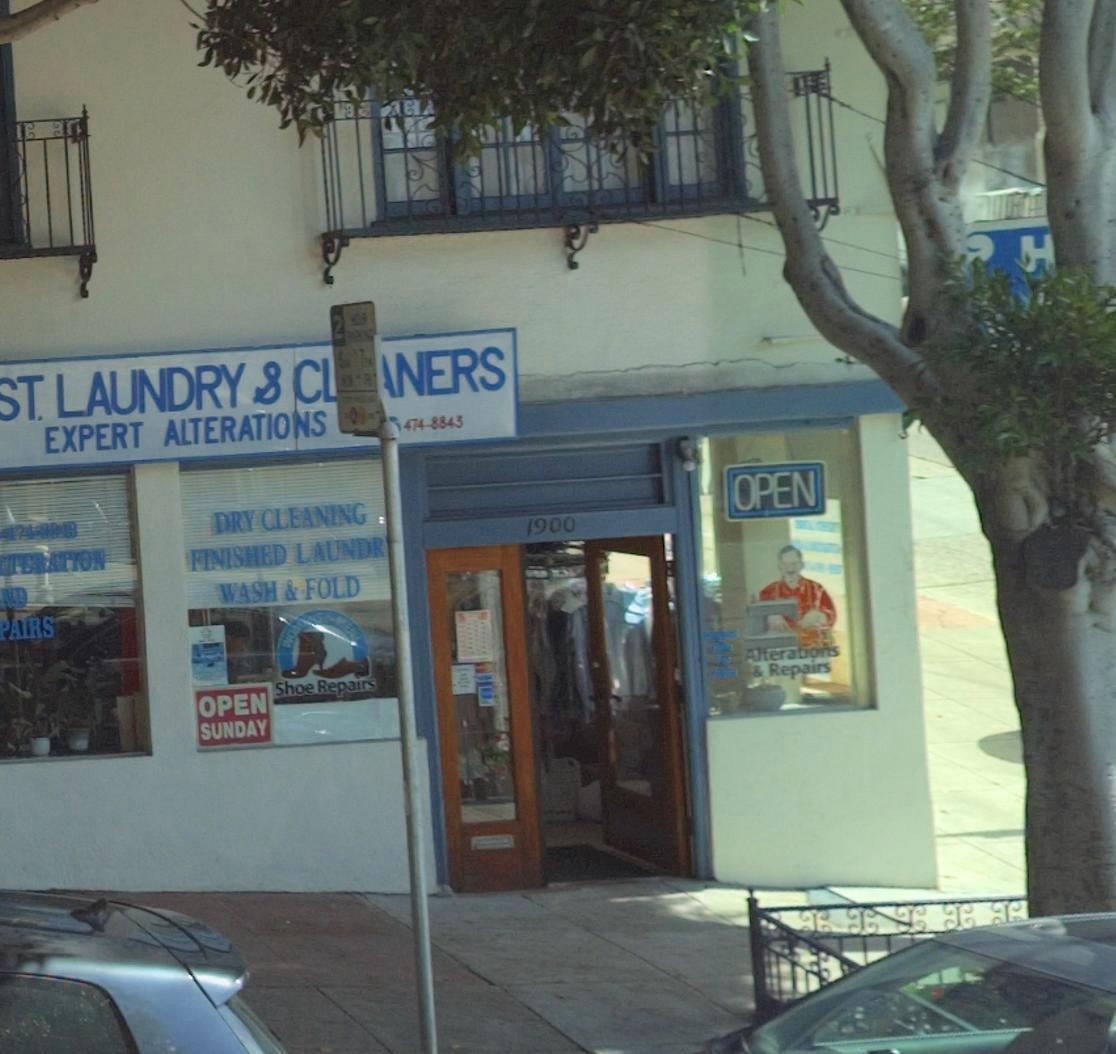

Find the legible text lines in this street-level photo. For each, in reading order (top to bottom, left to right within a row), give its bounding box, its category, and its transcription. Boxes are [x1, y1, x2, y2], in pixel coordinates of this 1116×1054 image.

[330, 312, 346, 342] None: 2
[357, 347, 366, 367] None: 7
[15, 344, 510, 423] BusinessName: T. LAUNDRY & C***NERS
[43, 408, 328, 456] None: EXPERT ALTERATIONS
[402, 413, 465, 433] None: 474-88-43
[732, 468, 817, 513] None: OPEN
[13, 519, 81, 541] None: 74-****
[210, 500, 369, 539] None: DRY CLEANING
[525, 514, 577, 538] StreetNumber: 1900
[5, 548, 107, 577] None: TERATION
[189, 535, 387, 573] None: FINISHED LAUNDR
[12, 585, 29, 610] None: D
[217, 573, 363, 605] None: WASH & FOLD
[8, 614, 56, 642] None: AIRS
[742, 644, 843, 664] None: Alterations
[767, 661, 834, 682] None: RePairs
[196, 690, 268, 720] None: OPEN
[198, 717, 269, 743] None: SUNDAY